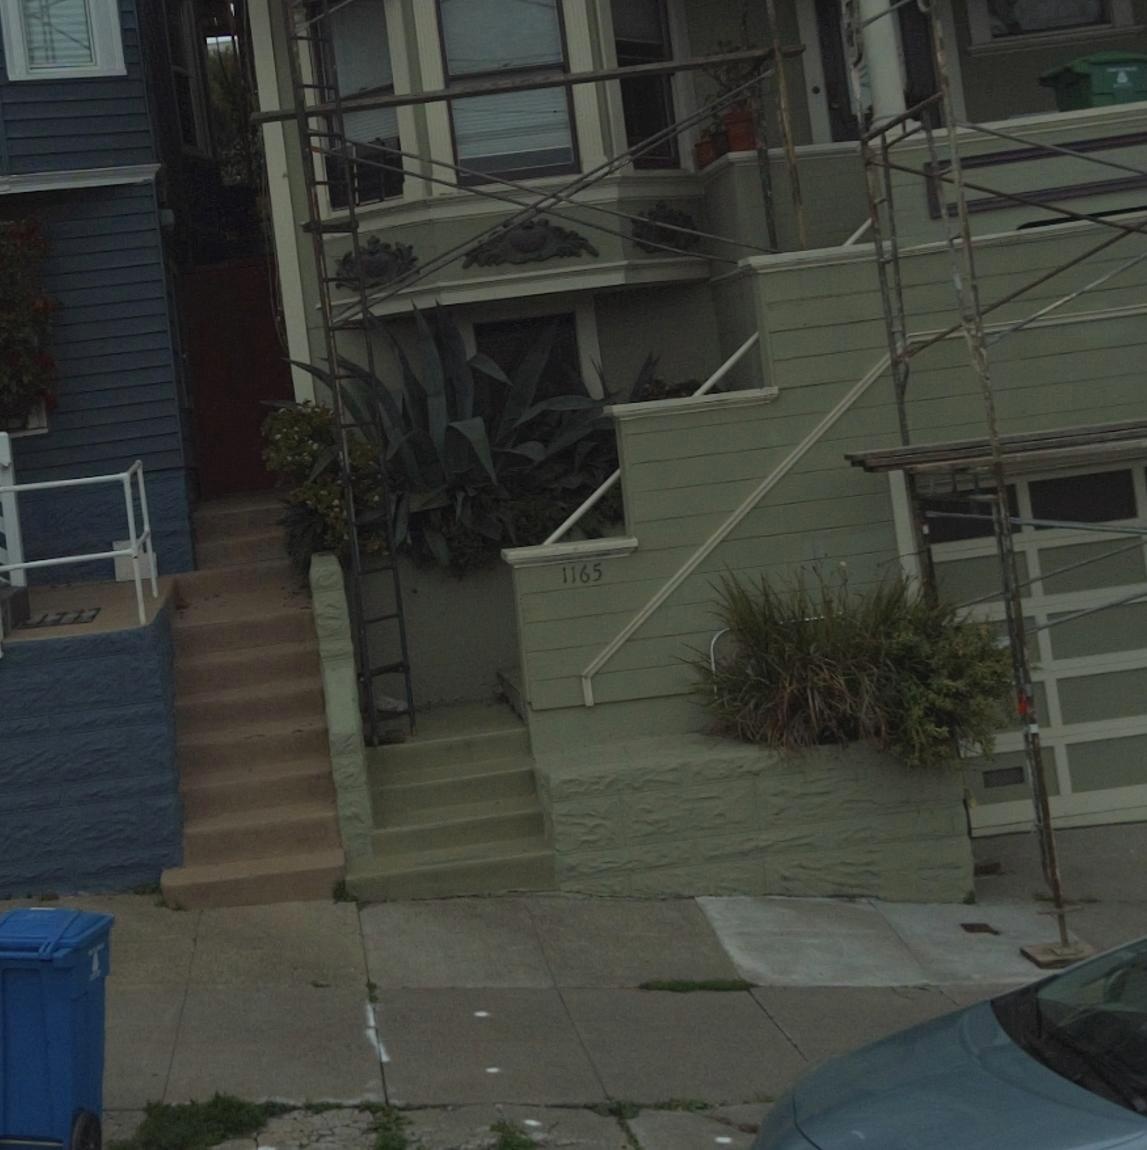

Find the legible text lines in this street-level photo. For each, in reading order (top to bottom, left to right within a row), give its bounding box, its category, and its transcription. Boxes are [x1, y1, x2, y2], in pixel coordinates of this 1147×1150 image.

[560, 561, 604, 585] StreetNumber: 1165